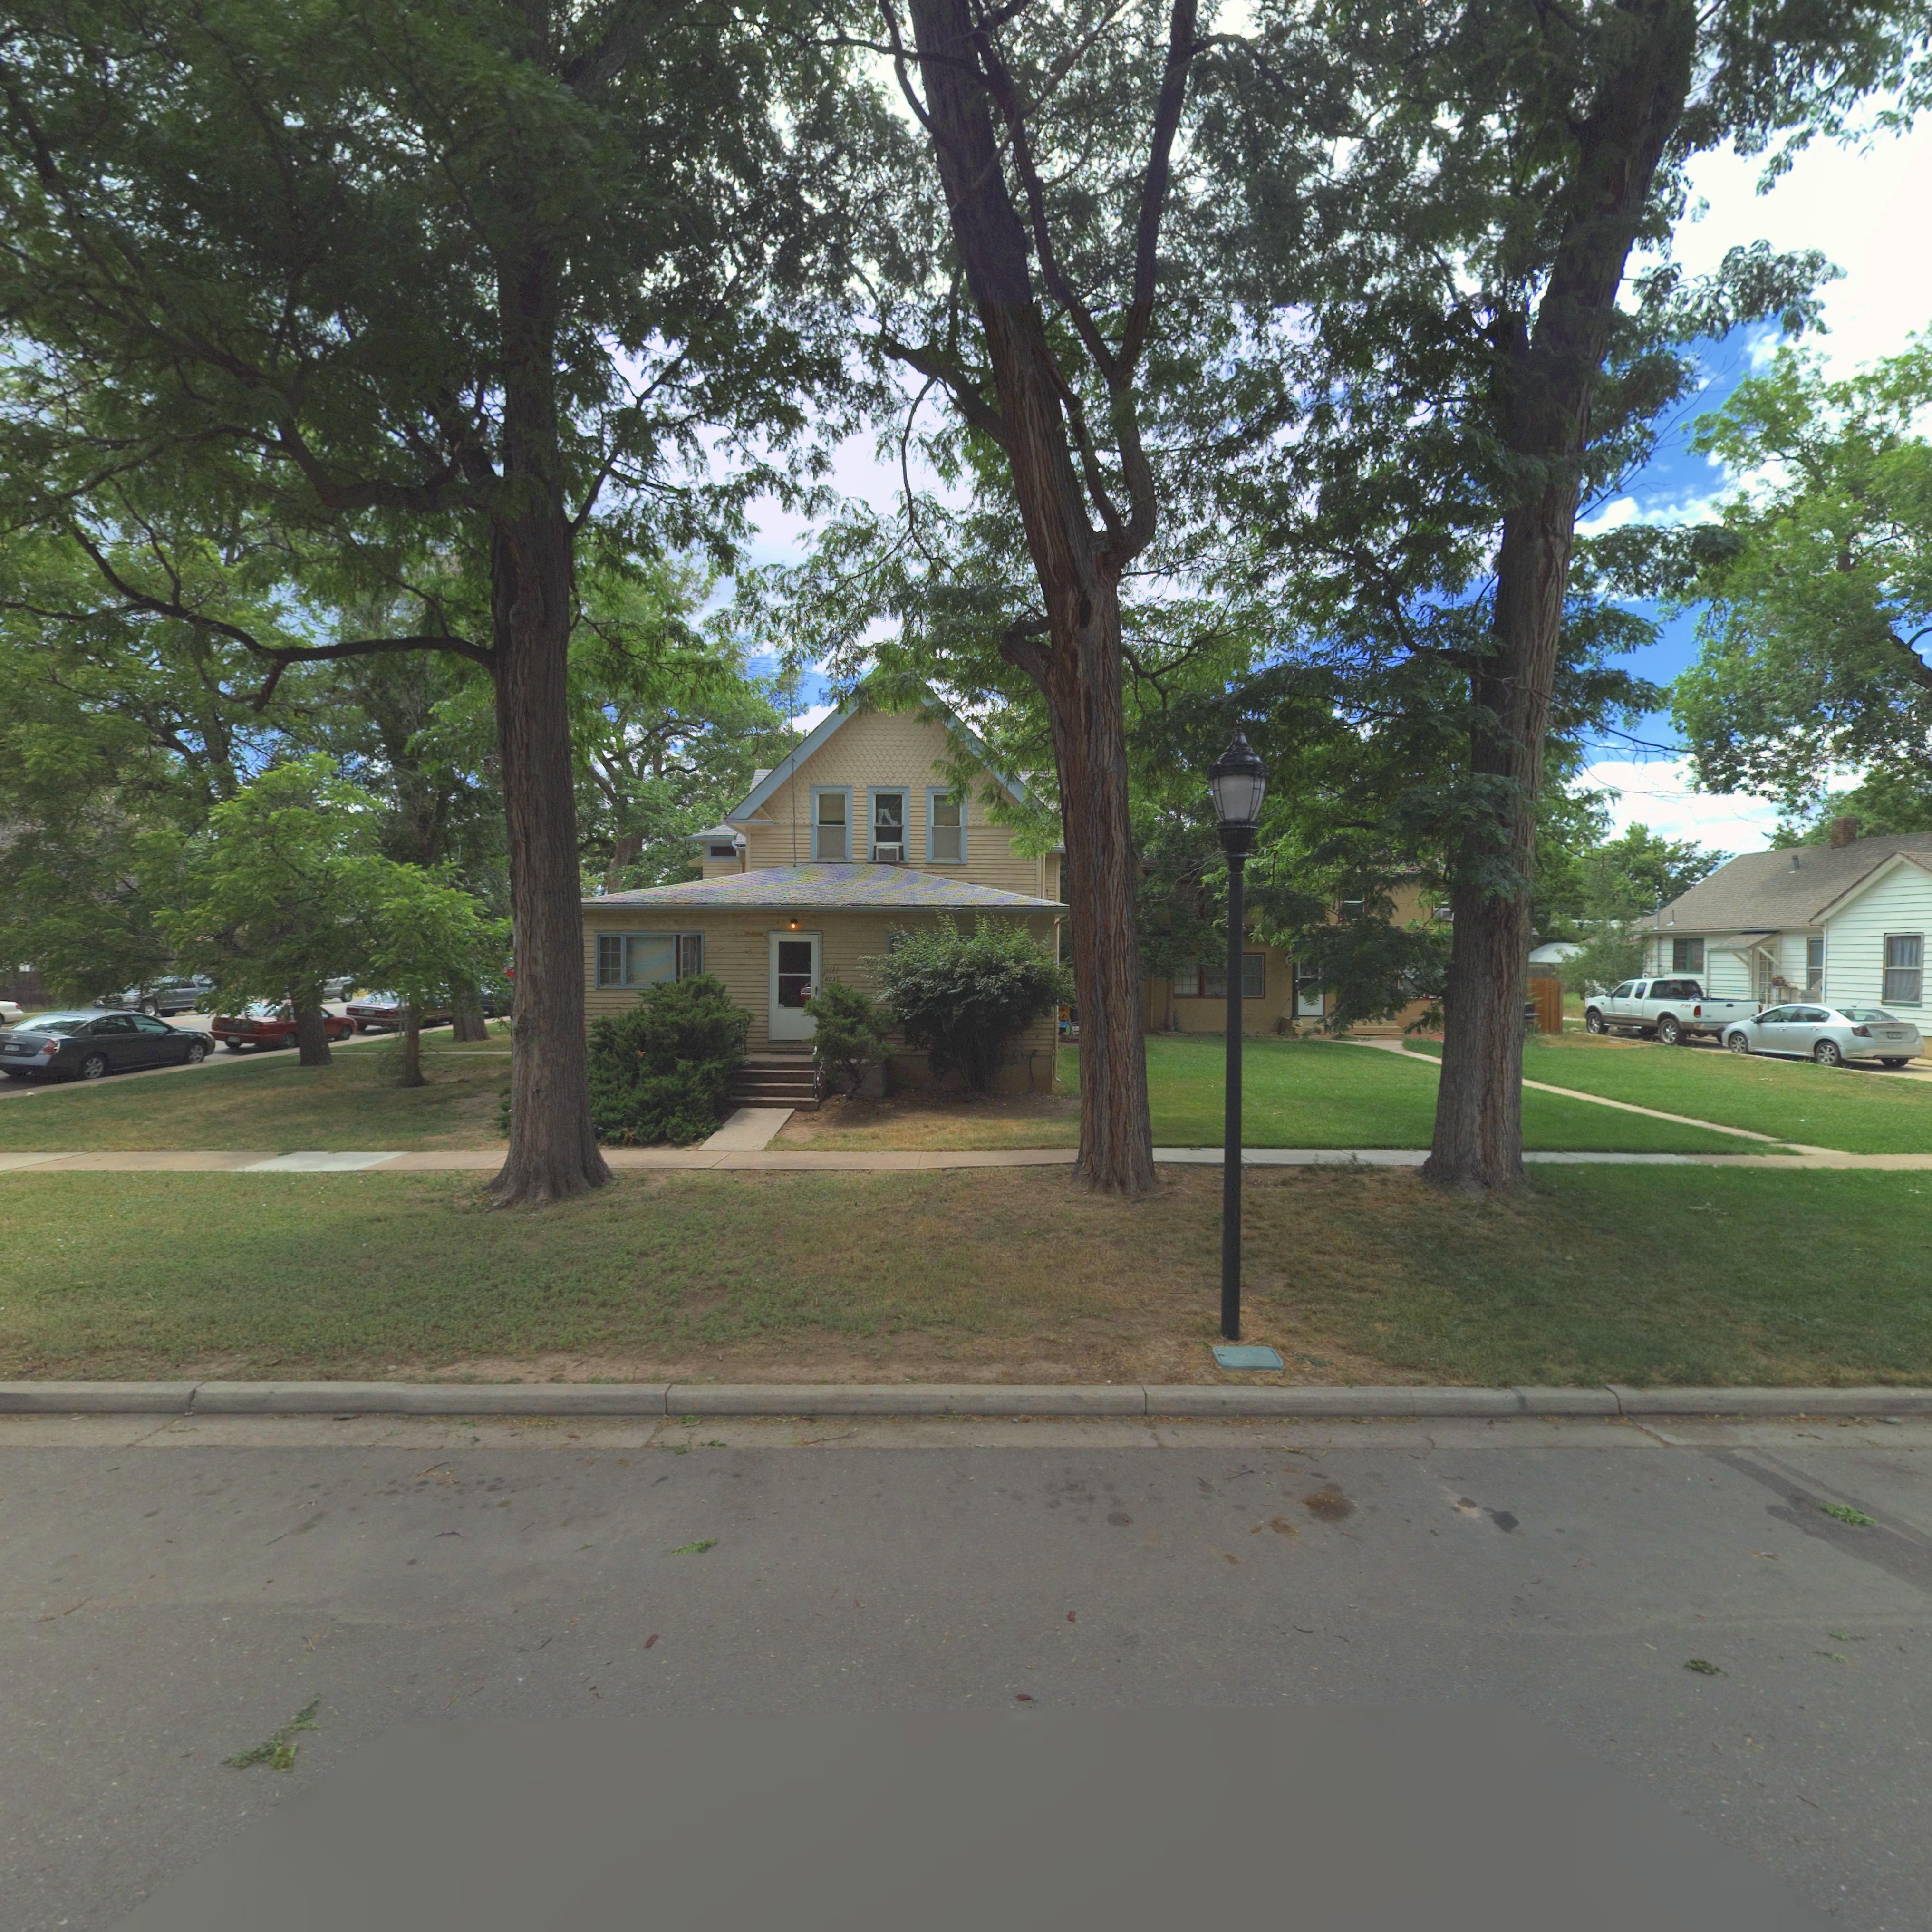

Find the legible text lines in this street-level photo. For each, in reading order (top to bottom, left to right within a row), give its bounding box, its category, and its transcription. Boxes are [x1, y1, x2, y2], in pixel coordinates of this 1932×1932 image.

[824, 976, 836, 982] StreetNumber: 603